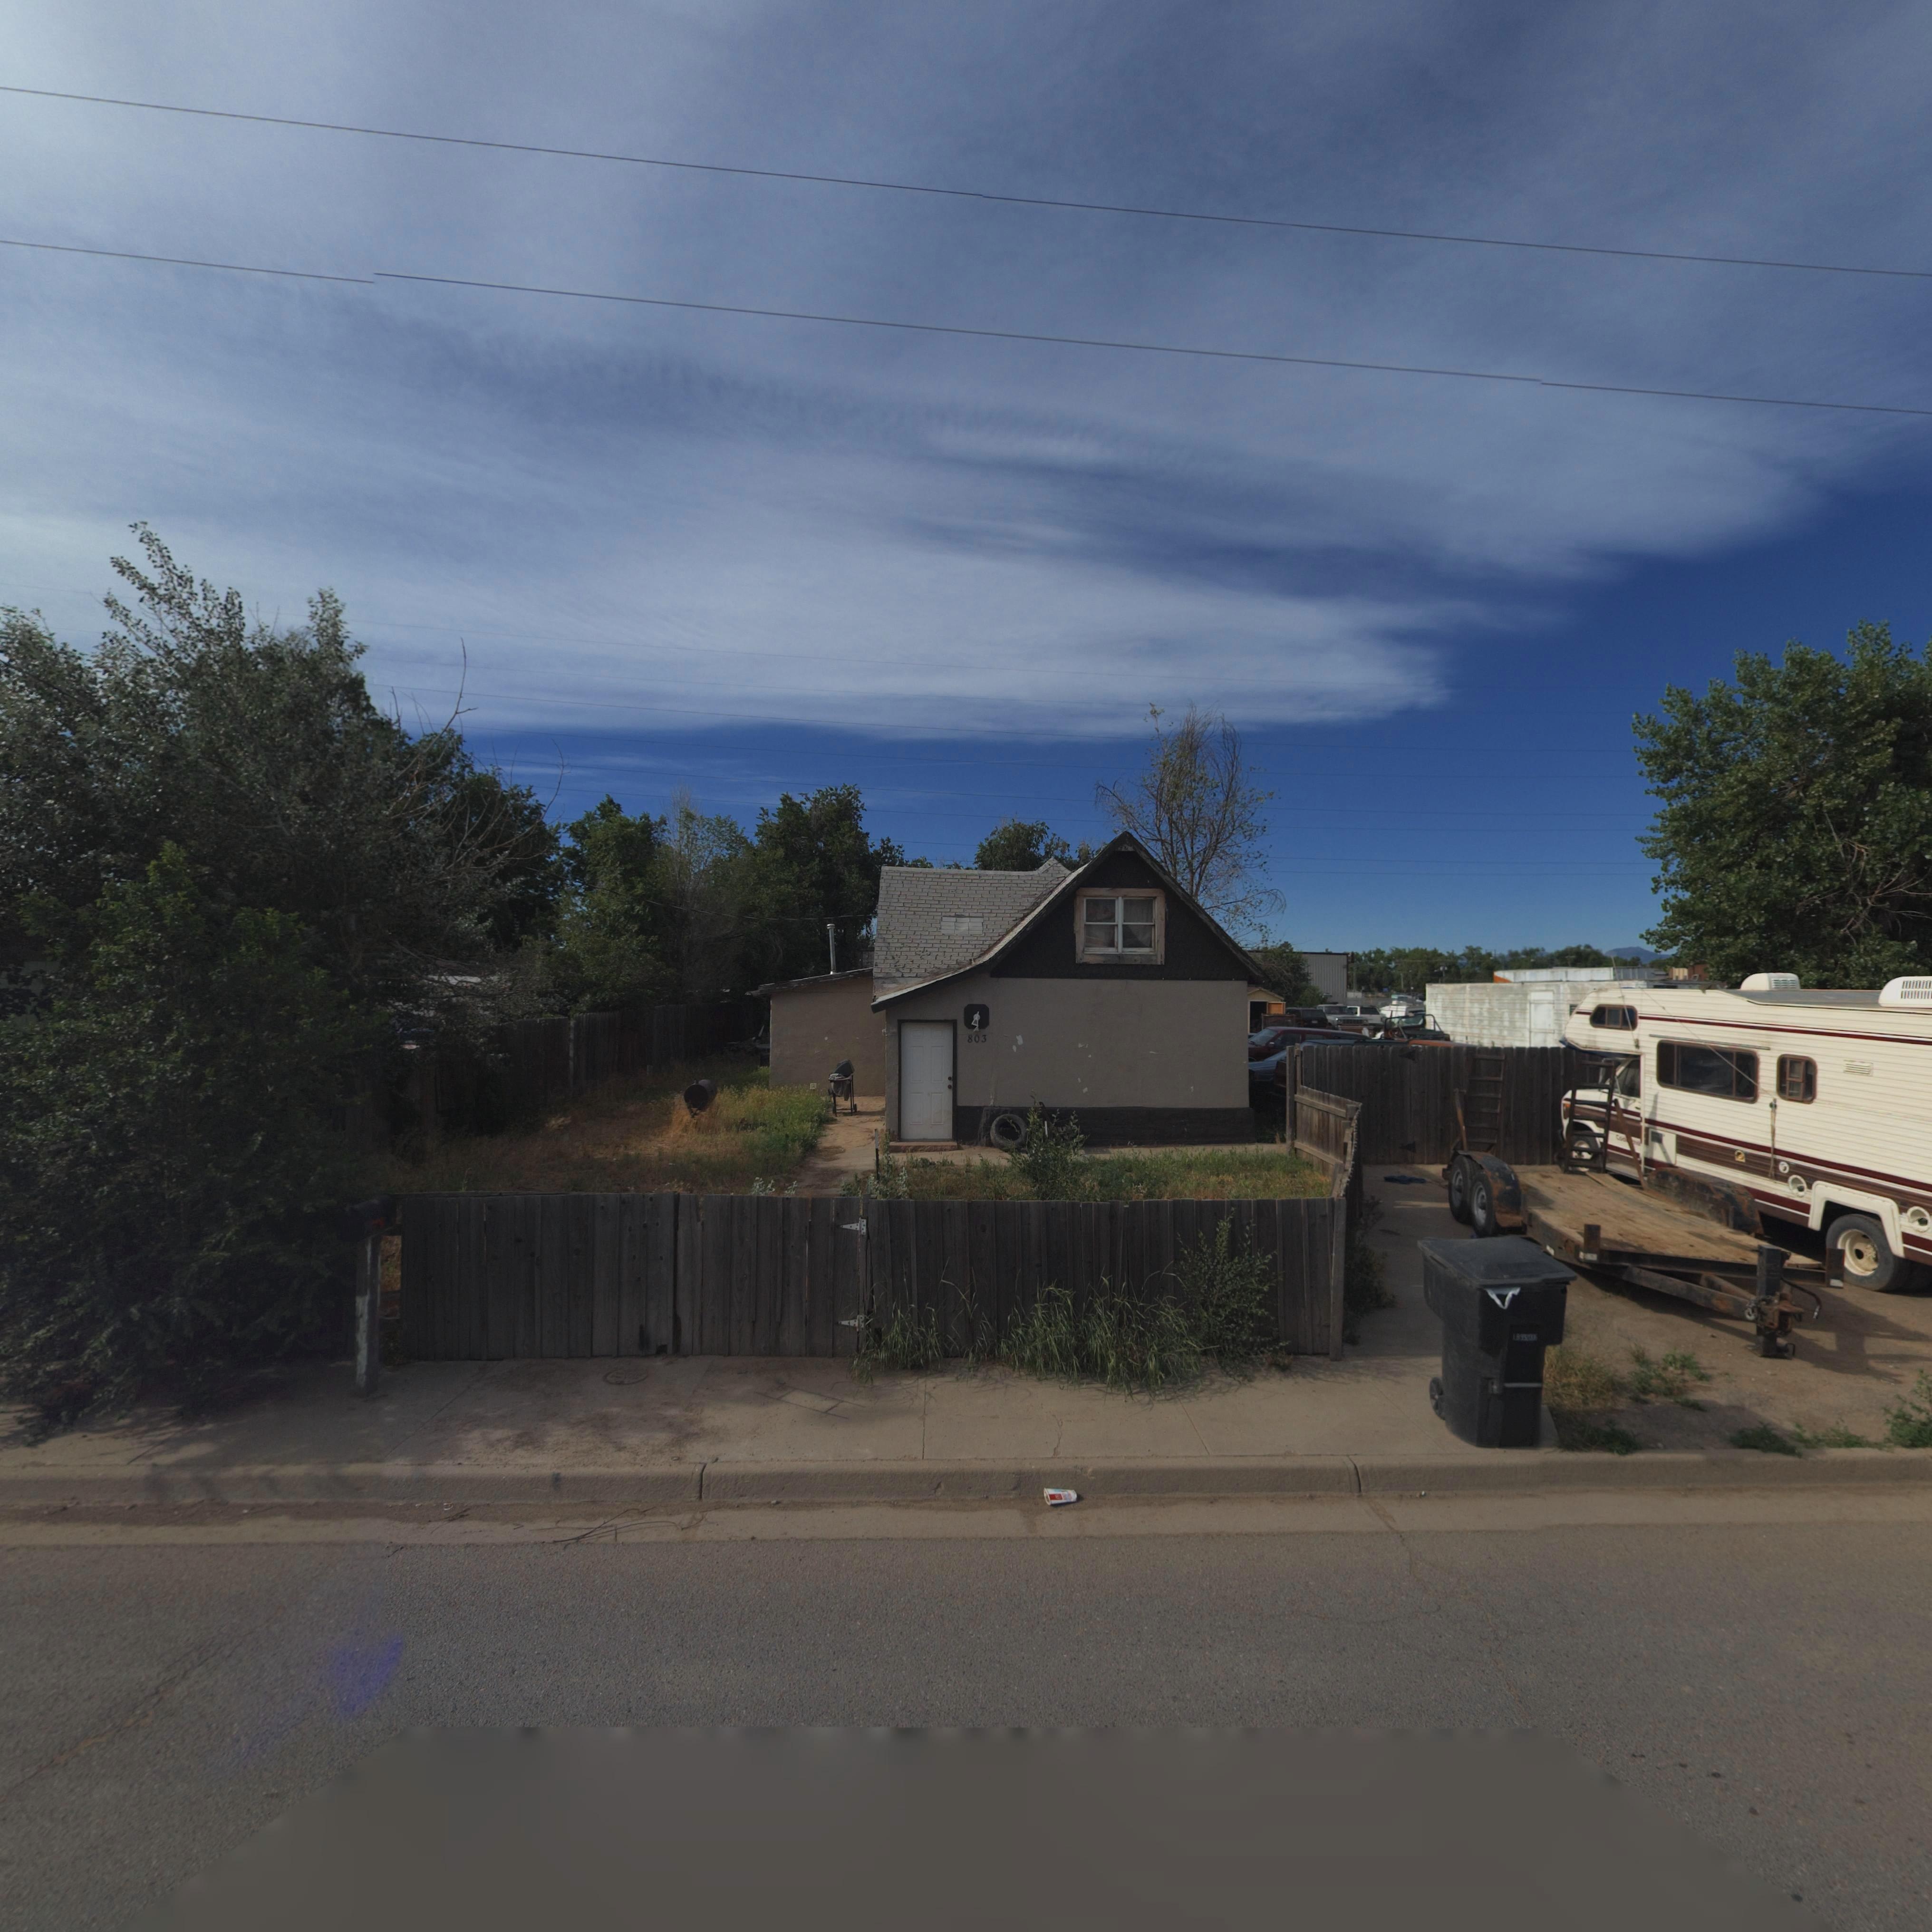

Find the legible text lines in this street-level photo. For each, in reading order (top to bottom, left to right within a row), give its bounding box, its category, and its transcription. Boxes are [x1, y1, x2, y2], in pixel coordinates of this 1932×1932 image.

[967, 1034, 986, 1043] StreetNumber: 803